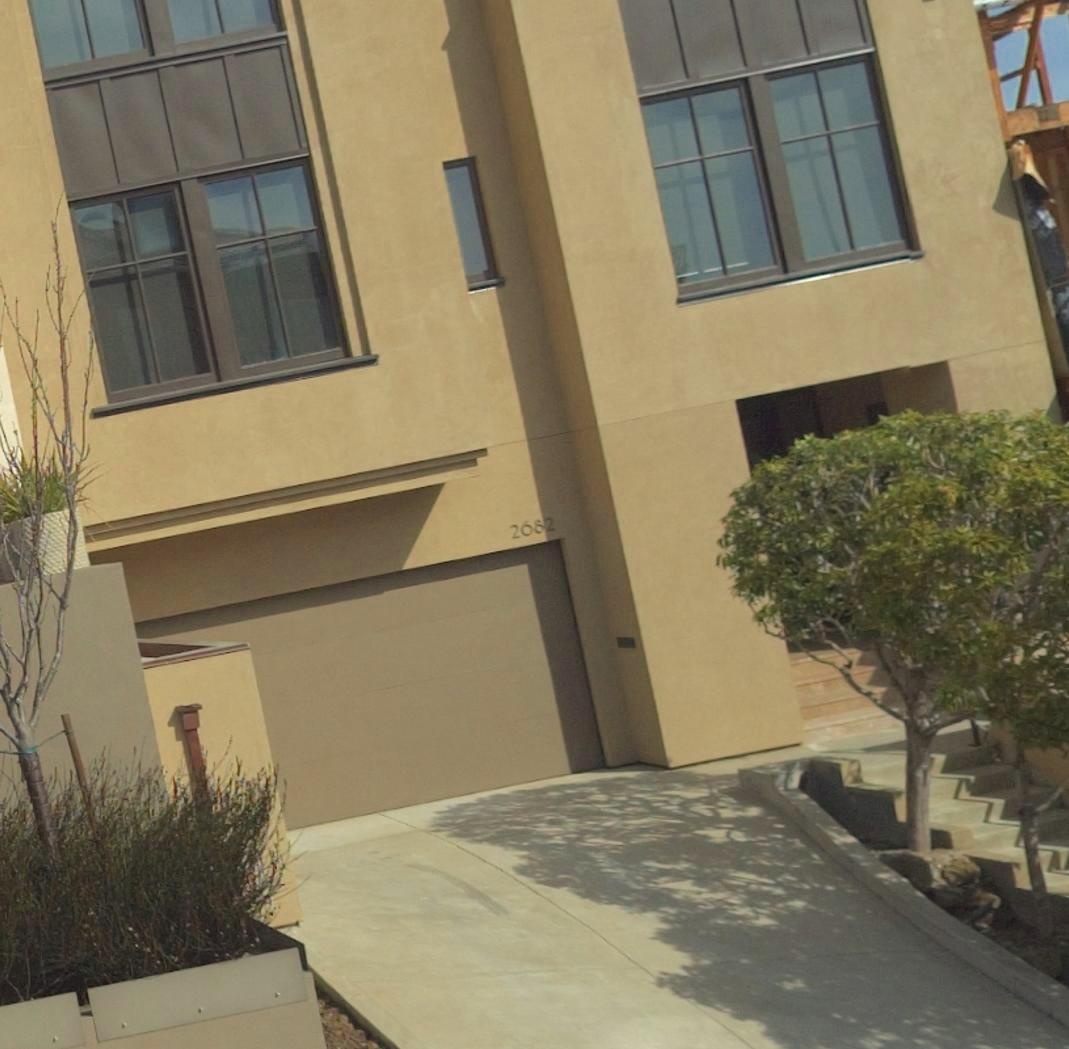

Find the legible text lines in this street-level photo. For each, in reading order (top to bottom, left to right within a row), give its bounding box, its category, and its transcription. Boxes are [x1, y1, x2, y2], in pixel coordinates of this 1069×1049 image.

[505, 512, 560, 544] StreetNumber: 2682